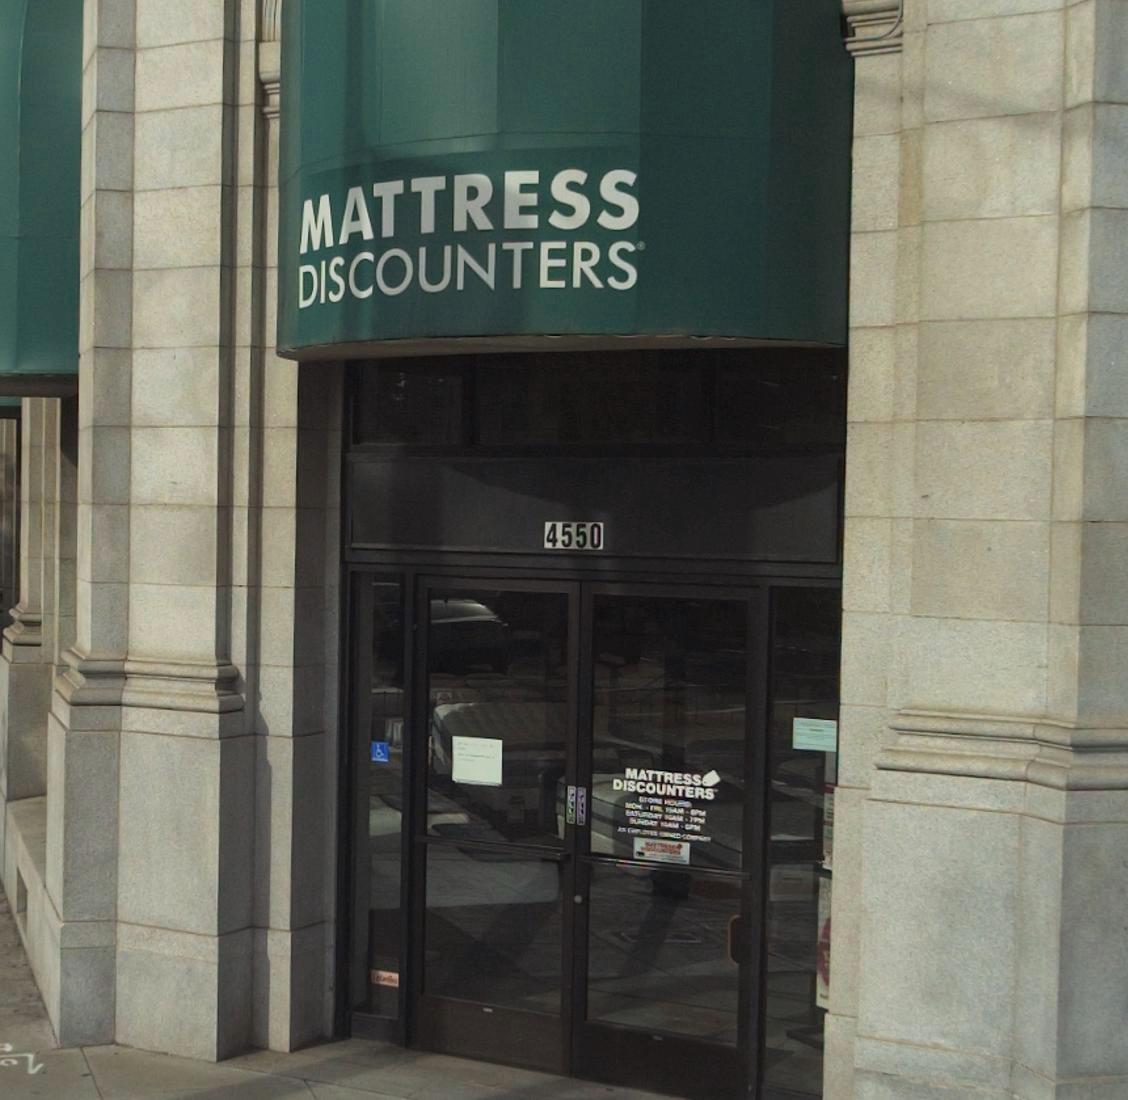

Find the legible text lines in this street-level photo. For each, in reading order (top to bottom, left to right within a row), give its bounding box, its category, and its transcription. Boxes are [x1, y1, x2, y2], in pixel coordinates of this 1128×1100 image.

[299, 168, 641, 255] BusinessName: MATTRESS
[297, 240, 638, 311] BusinessName: DISCOUNTERS
[544, 522, 602, 549] StreetNumber: 4450
[567, 789, 575, 815] None: PULL
[577, 790, 585, 817] None: PULL
[624, 767, 702, 786] BusinessName: MATTRESS
[611, 777, 715, 801] BusinessName: DISCOUNTERS